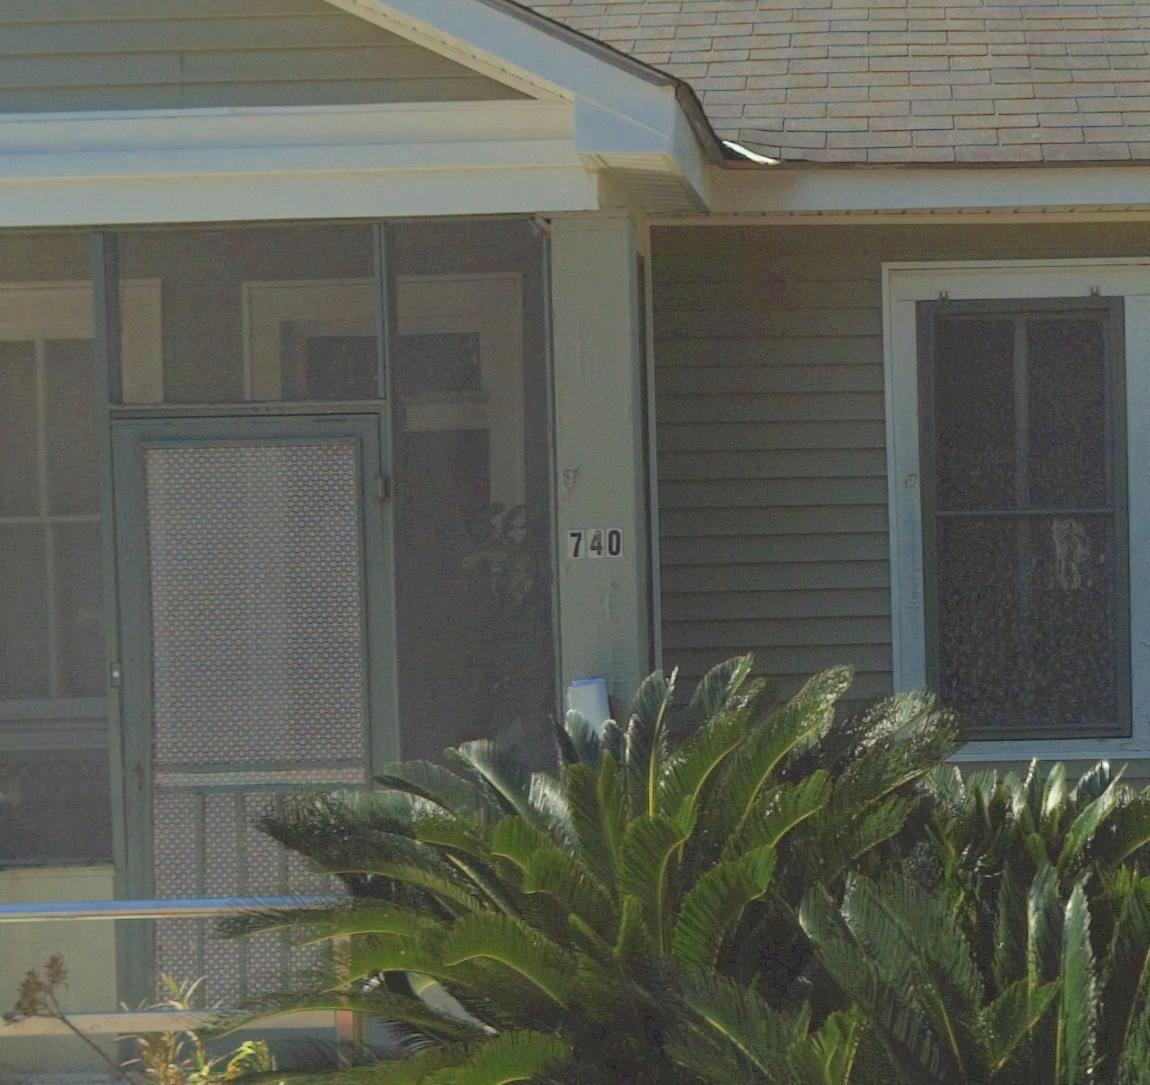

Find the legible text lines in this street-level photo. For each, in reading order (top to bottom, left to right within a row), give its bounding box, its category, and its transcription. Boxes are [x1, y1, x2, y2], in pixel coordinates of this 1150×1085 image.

[567, 527, 623, 560] StreetNumber: 740